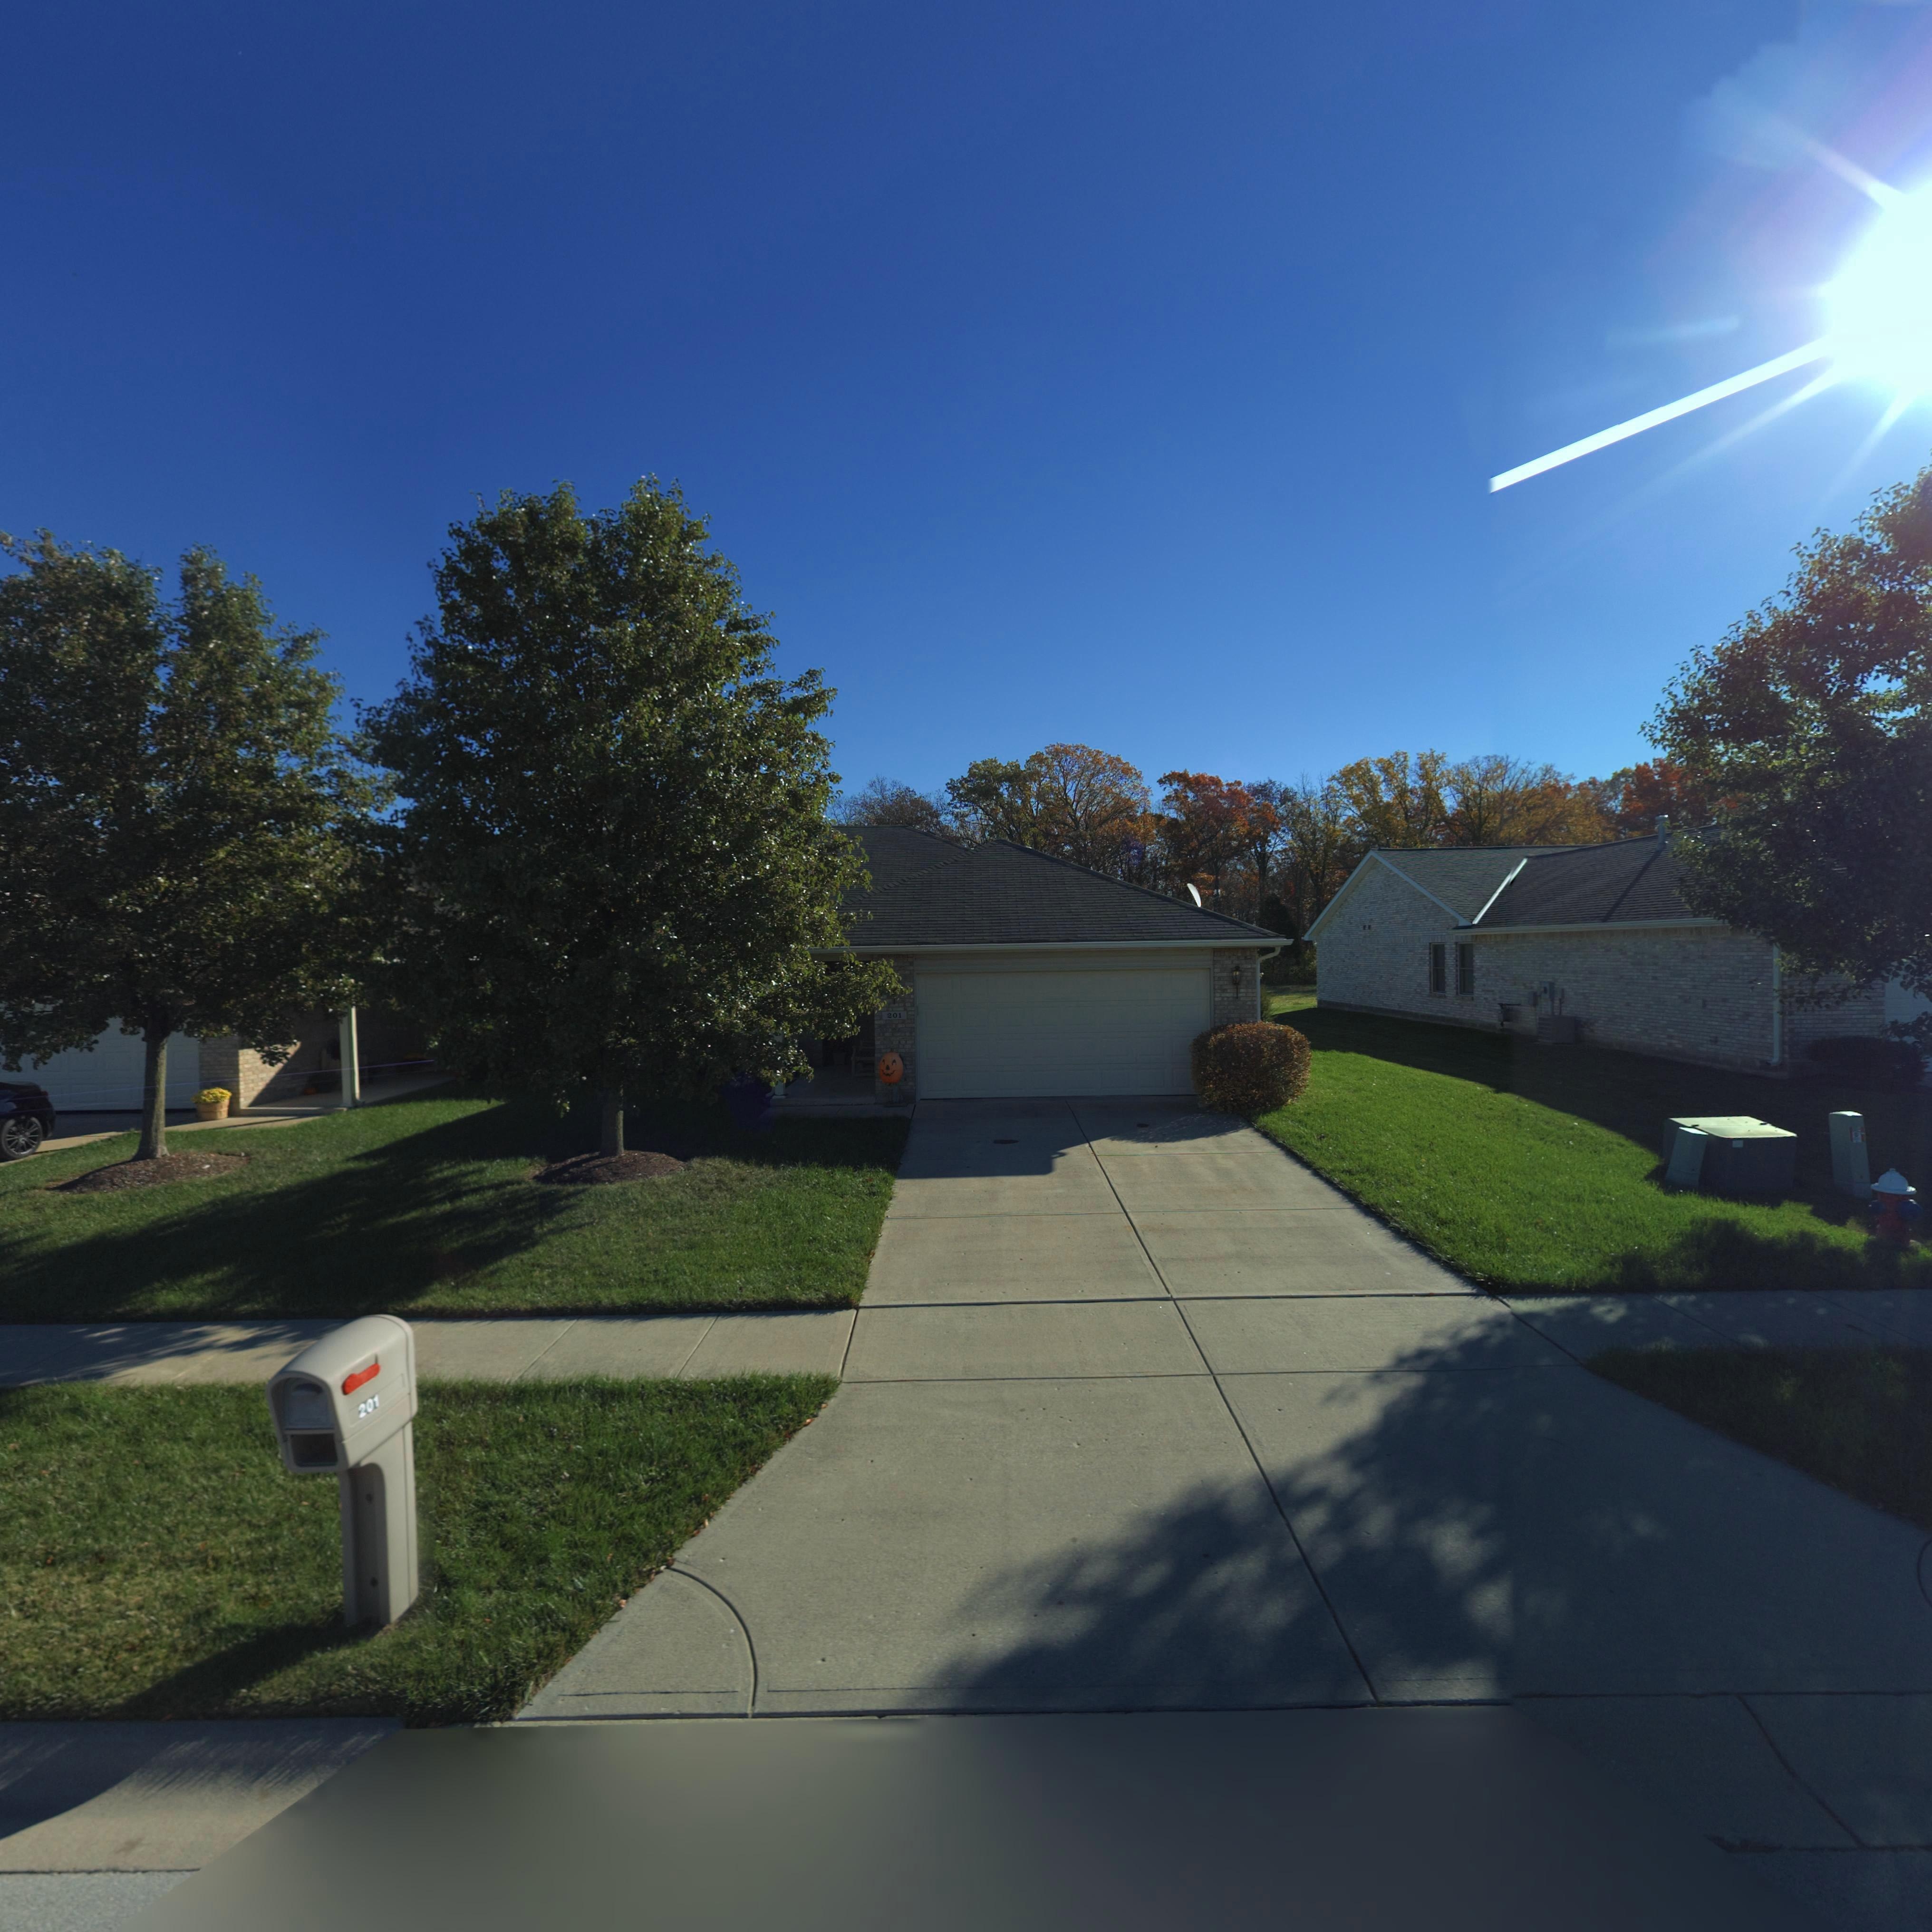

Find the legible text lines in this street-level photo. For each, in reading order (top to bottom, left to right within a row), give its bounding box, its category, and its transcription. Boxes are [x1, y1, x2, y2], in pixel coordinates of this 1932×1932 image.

[886, 1012, 903, 1019] StreetNumber: 201
[355, 1391, 381, 1421] StreetNumber: 201